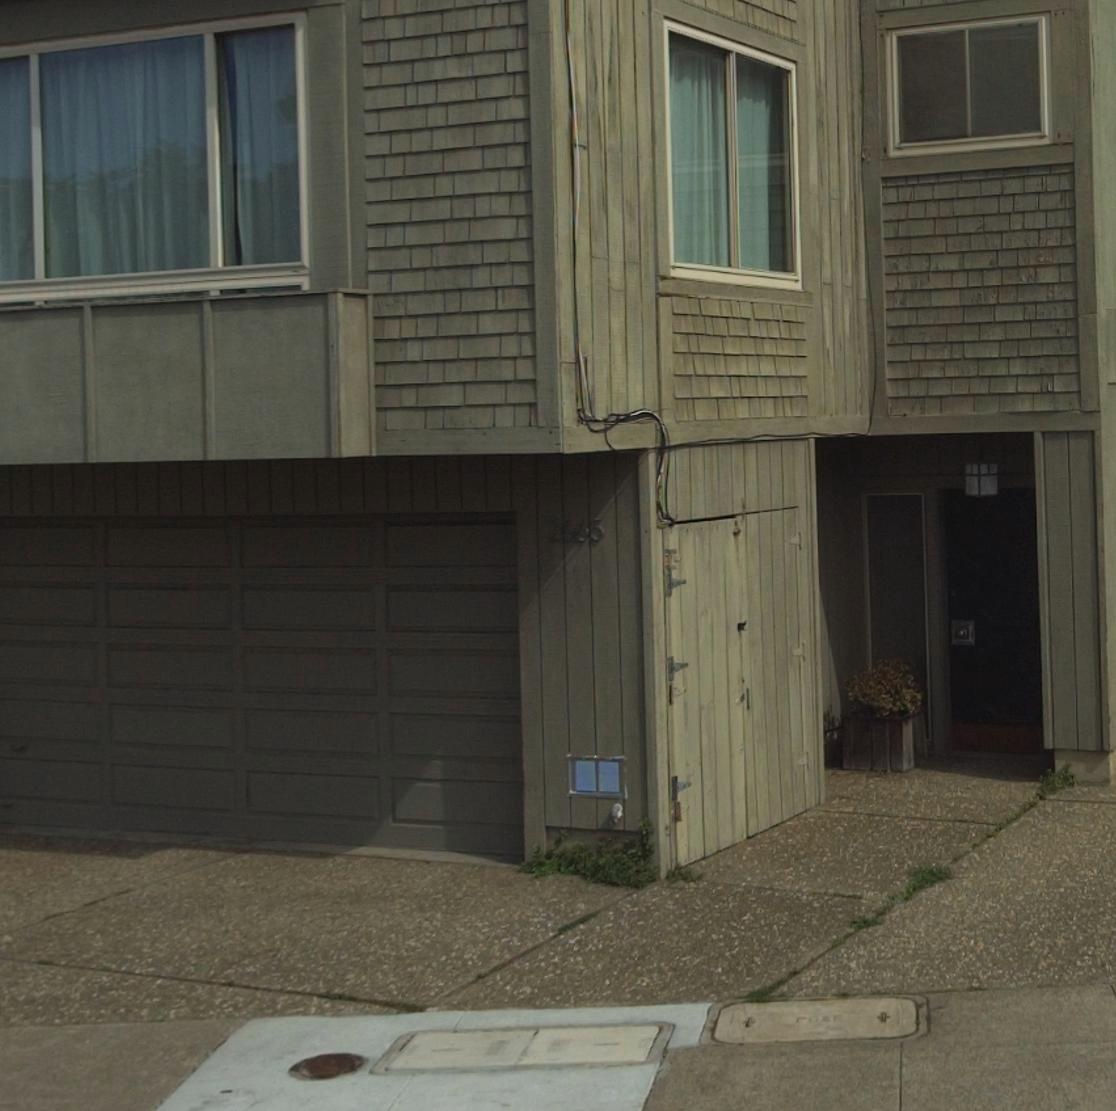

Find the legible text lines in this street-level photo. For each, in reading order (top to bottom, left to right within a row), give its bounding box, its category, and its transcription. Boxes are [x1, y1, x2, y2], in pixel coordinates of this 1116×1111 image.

[544, 517, 608, 543] StreetNumber: *665